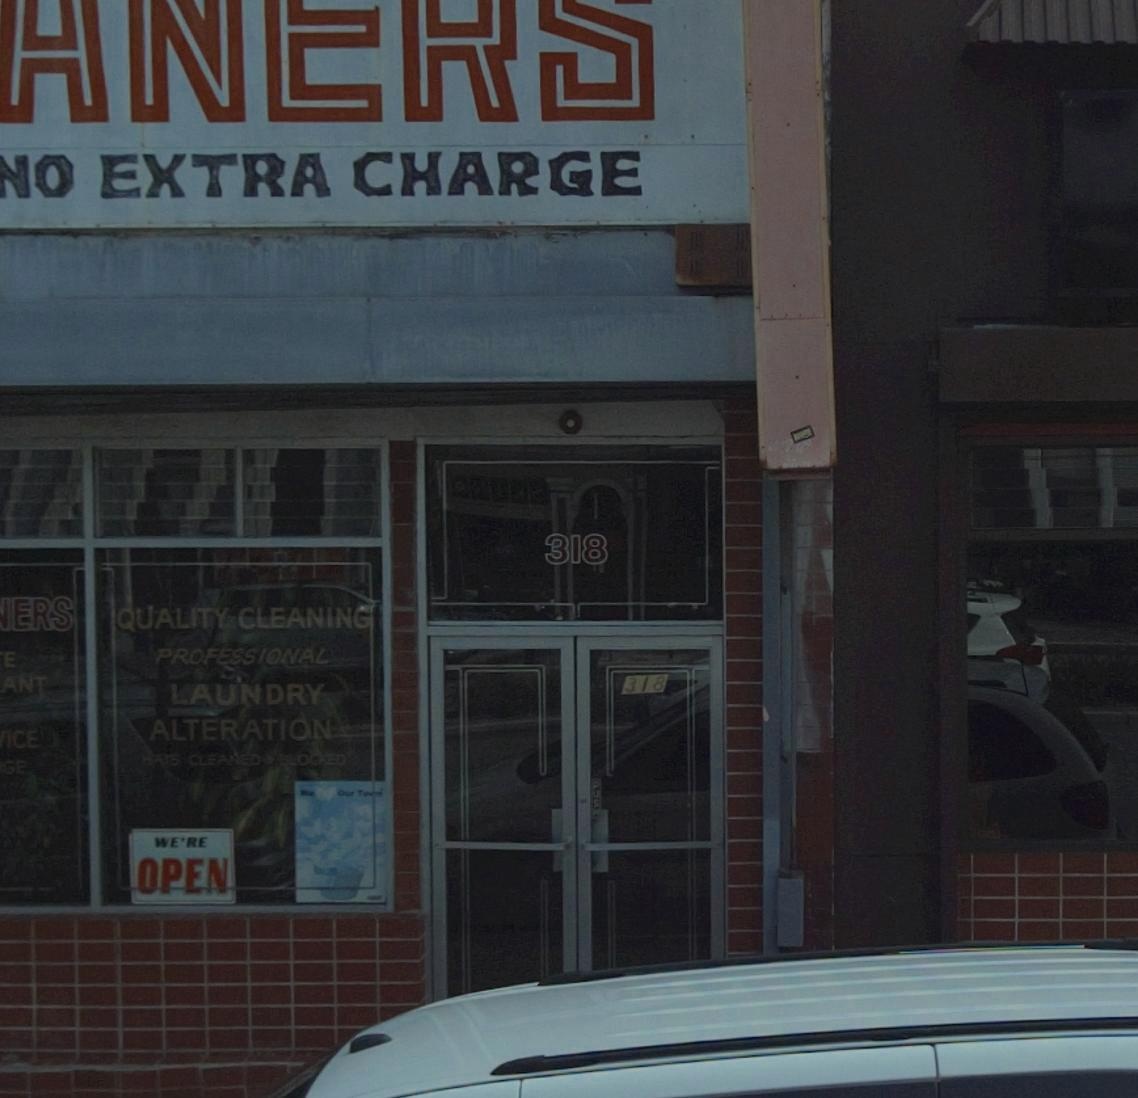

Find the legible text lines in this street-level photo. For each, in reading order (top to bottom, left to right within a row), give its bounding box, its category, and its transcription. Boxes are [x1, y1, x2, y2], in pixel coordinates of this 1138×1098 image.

[27, 142, 651, 207] None: O EXTRA CHARGE
[542, 531, 610, 567] StreetNumber: 318
[8, 593, 75, 635] BusinessName: ERS
[113, 601, 375, 636] None: QUALITY CLEANING
[2, 649, 19, 670] None: E
[151, 644, 333, 668] None: PROFESSIONAL
[0, 671, 51, 696] None: ANT
[167, 679, 328, 709] None: LAUNDRY
[622, 673, 669, 696] StreetNumber: 318
[10, 726, 41, 751] None: CE
[145, 715, 334, 744] None: ALTERATION
[186, 750, 350, 770] None: CLEANED * BLOCKED
[151, 833, 211, 851] None: WE'RE
[133, 853, 232, 899] None: OPEN